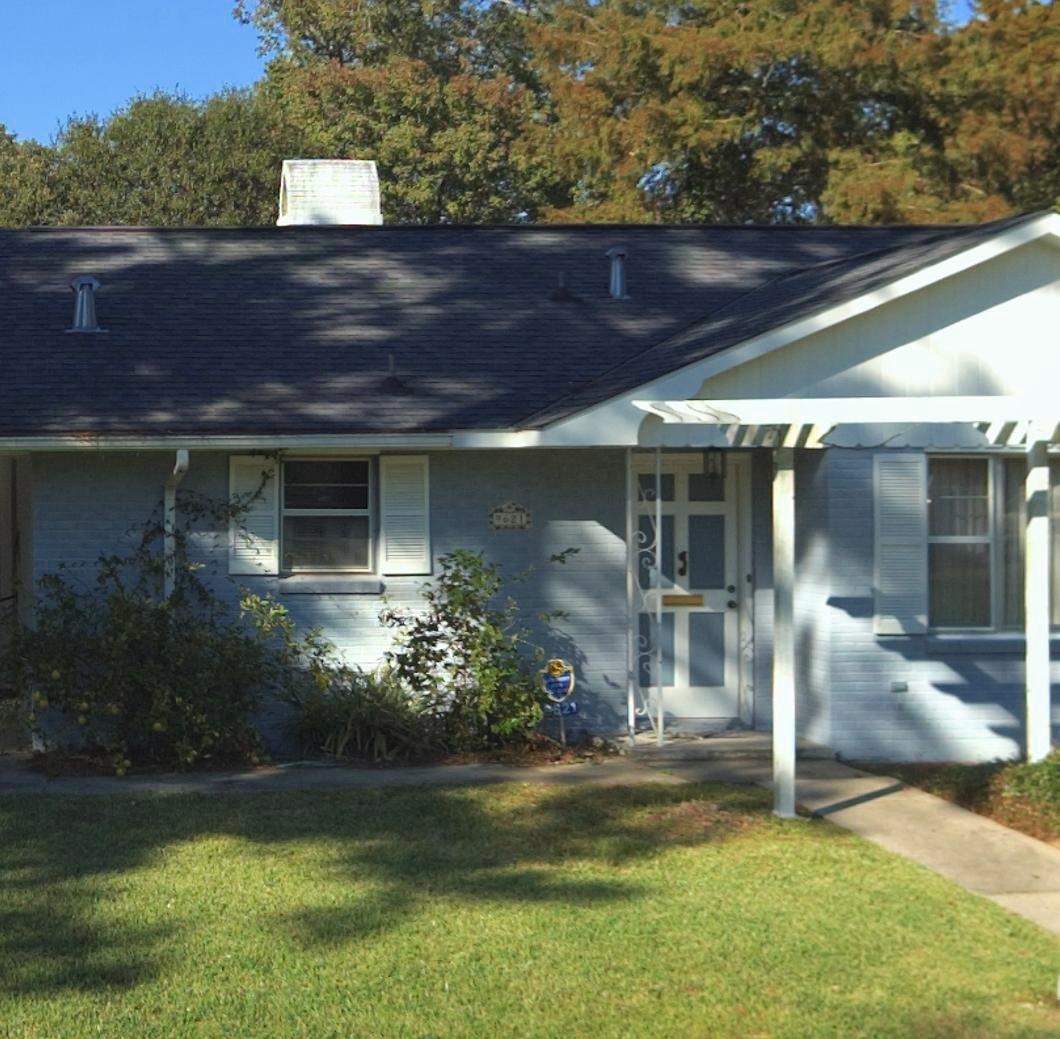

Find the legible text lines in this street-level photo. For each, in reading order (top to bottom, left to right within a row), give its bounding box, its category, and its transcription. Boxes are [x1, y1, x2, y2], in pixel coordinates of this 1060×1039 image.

[494, 513, 524, 524] StreetNumber: 9621
[540, 700, 578, 718] StreetNumber: **21